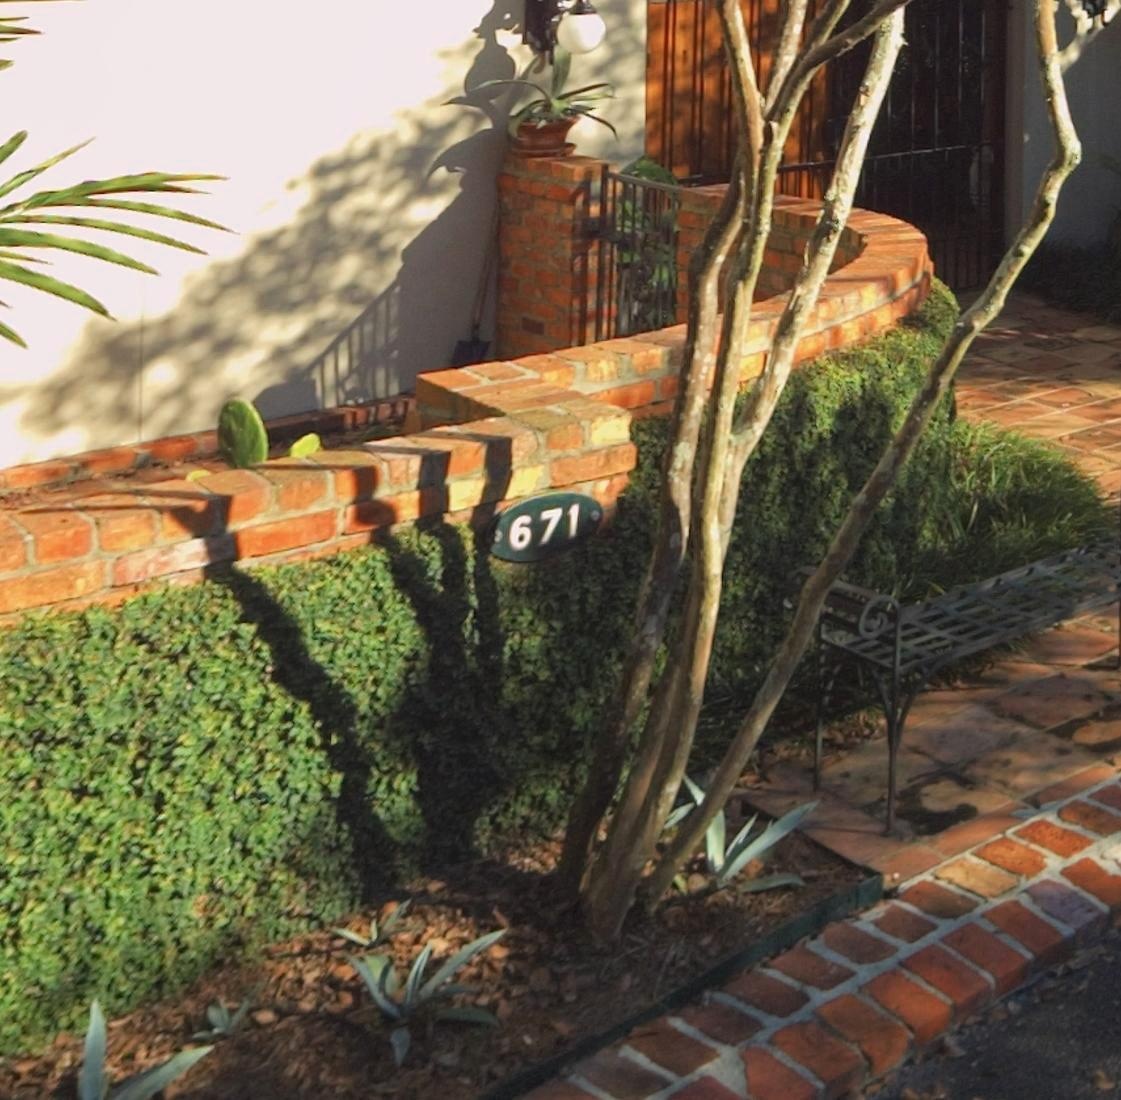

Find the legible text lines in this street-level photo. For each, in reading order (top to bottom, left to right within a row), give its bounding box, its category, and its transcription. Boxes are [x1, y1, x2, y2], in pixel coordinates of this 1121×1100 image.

[505, 501, 581, 556] StreetNumber: 671